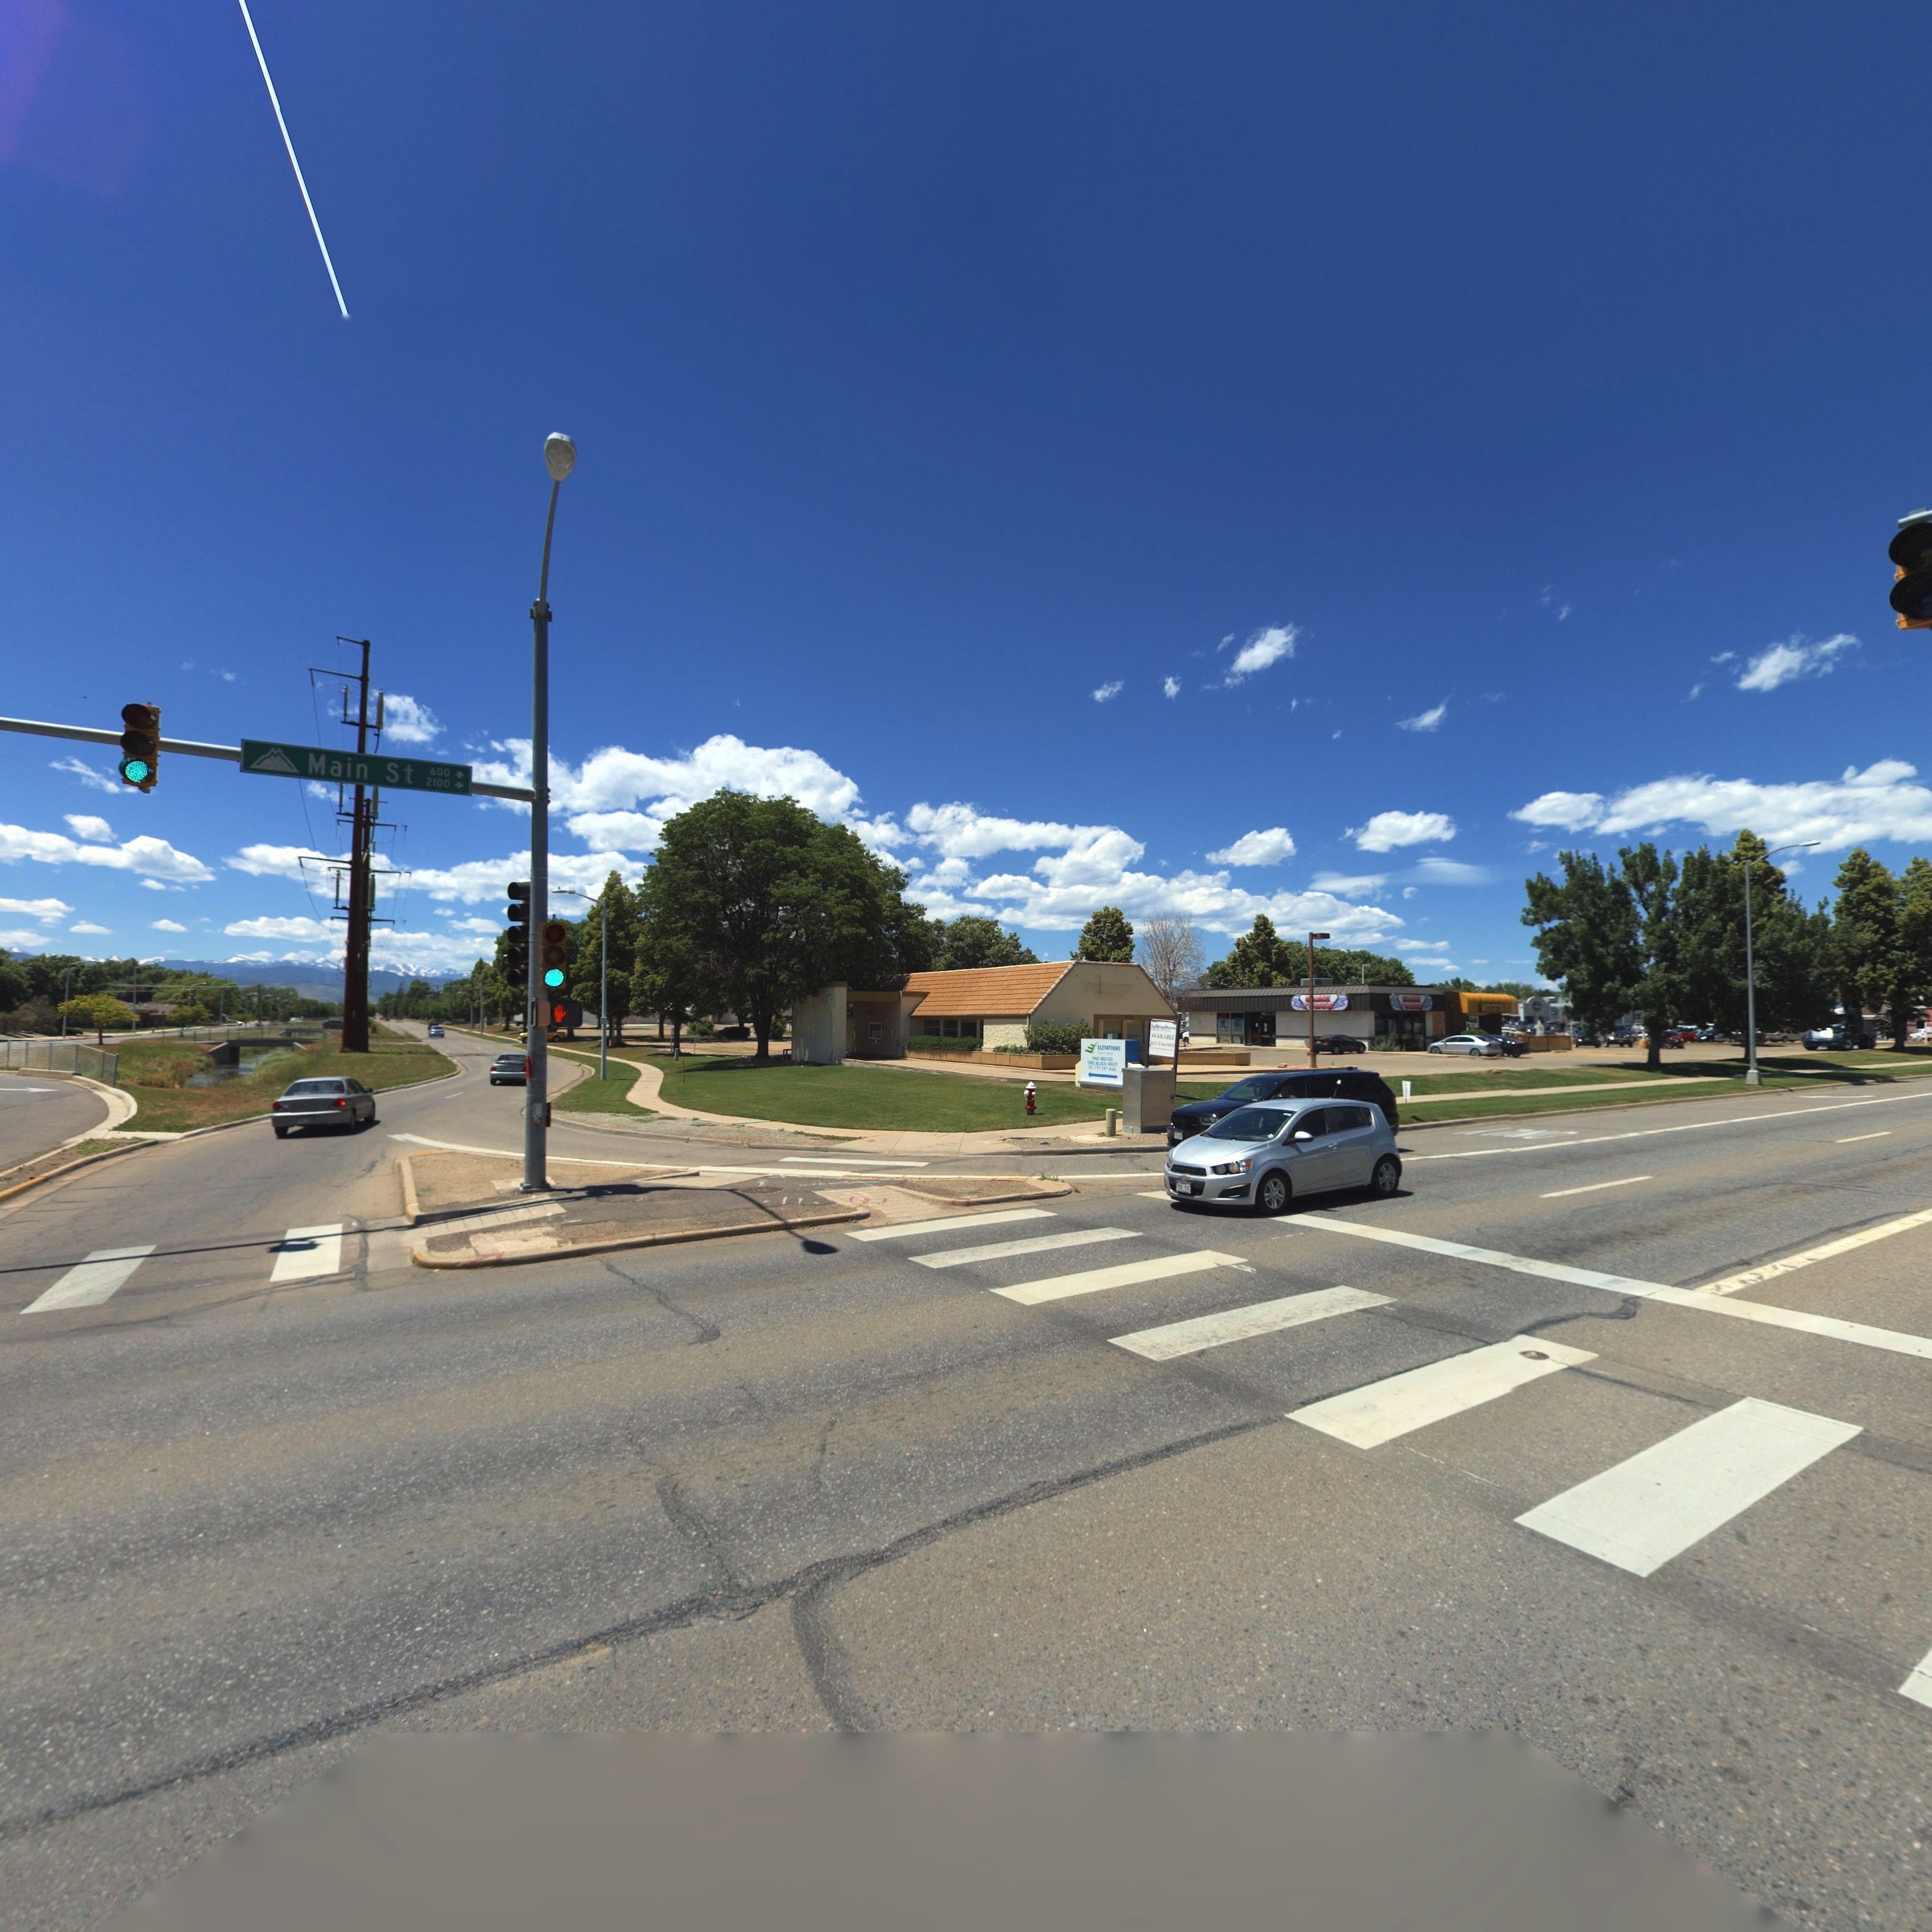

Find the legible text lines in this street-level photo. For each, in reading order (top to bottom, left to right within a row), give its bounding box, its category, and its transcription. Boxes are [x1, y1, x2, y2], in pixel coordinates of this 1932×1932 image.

[307, 752, 415, 785] BusinessName: Main St
[429, 765, 451, 777] StreetNumberRange: 600
[425, 776, 465, 789] StreetNumberRange: 2100->
[1304, 994, 1330, 1002] BusinessName: G*ME
[1401, 994, 1421, 1002] BusinessName: GAME
[1302, 1001, 1333, 1009] StreetName: F*RCE
[1400, 1001, 1422, 1010] BusinessName: FORCE
[1097, 1044, 1121, 1051] BusinessName: ELEVATIONS